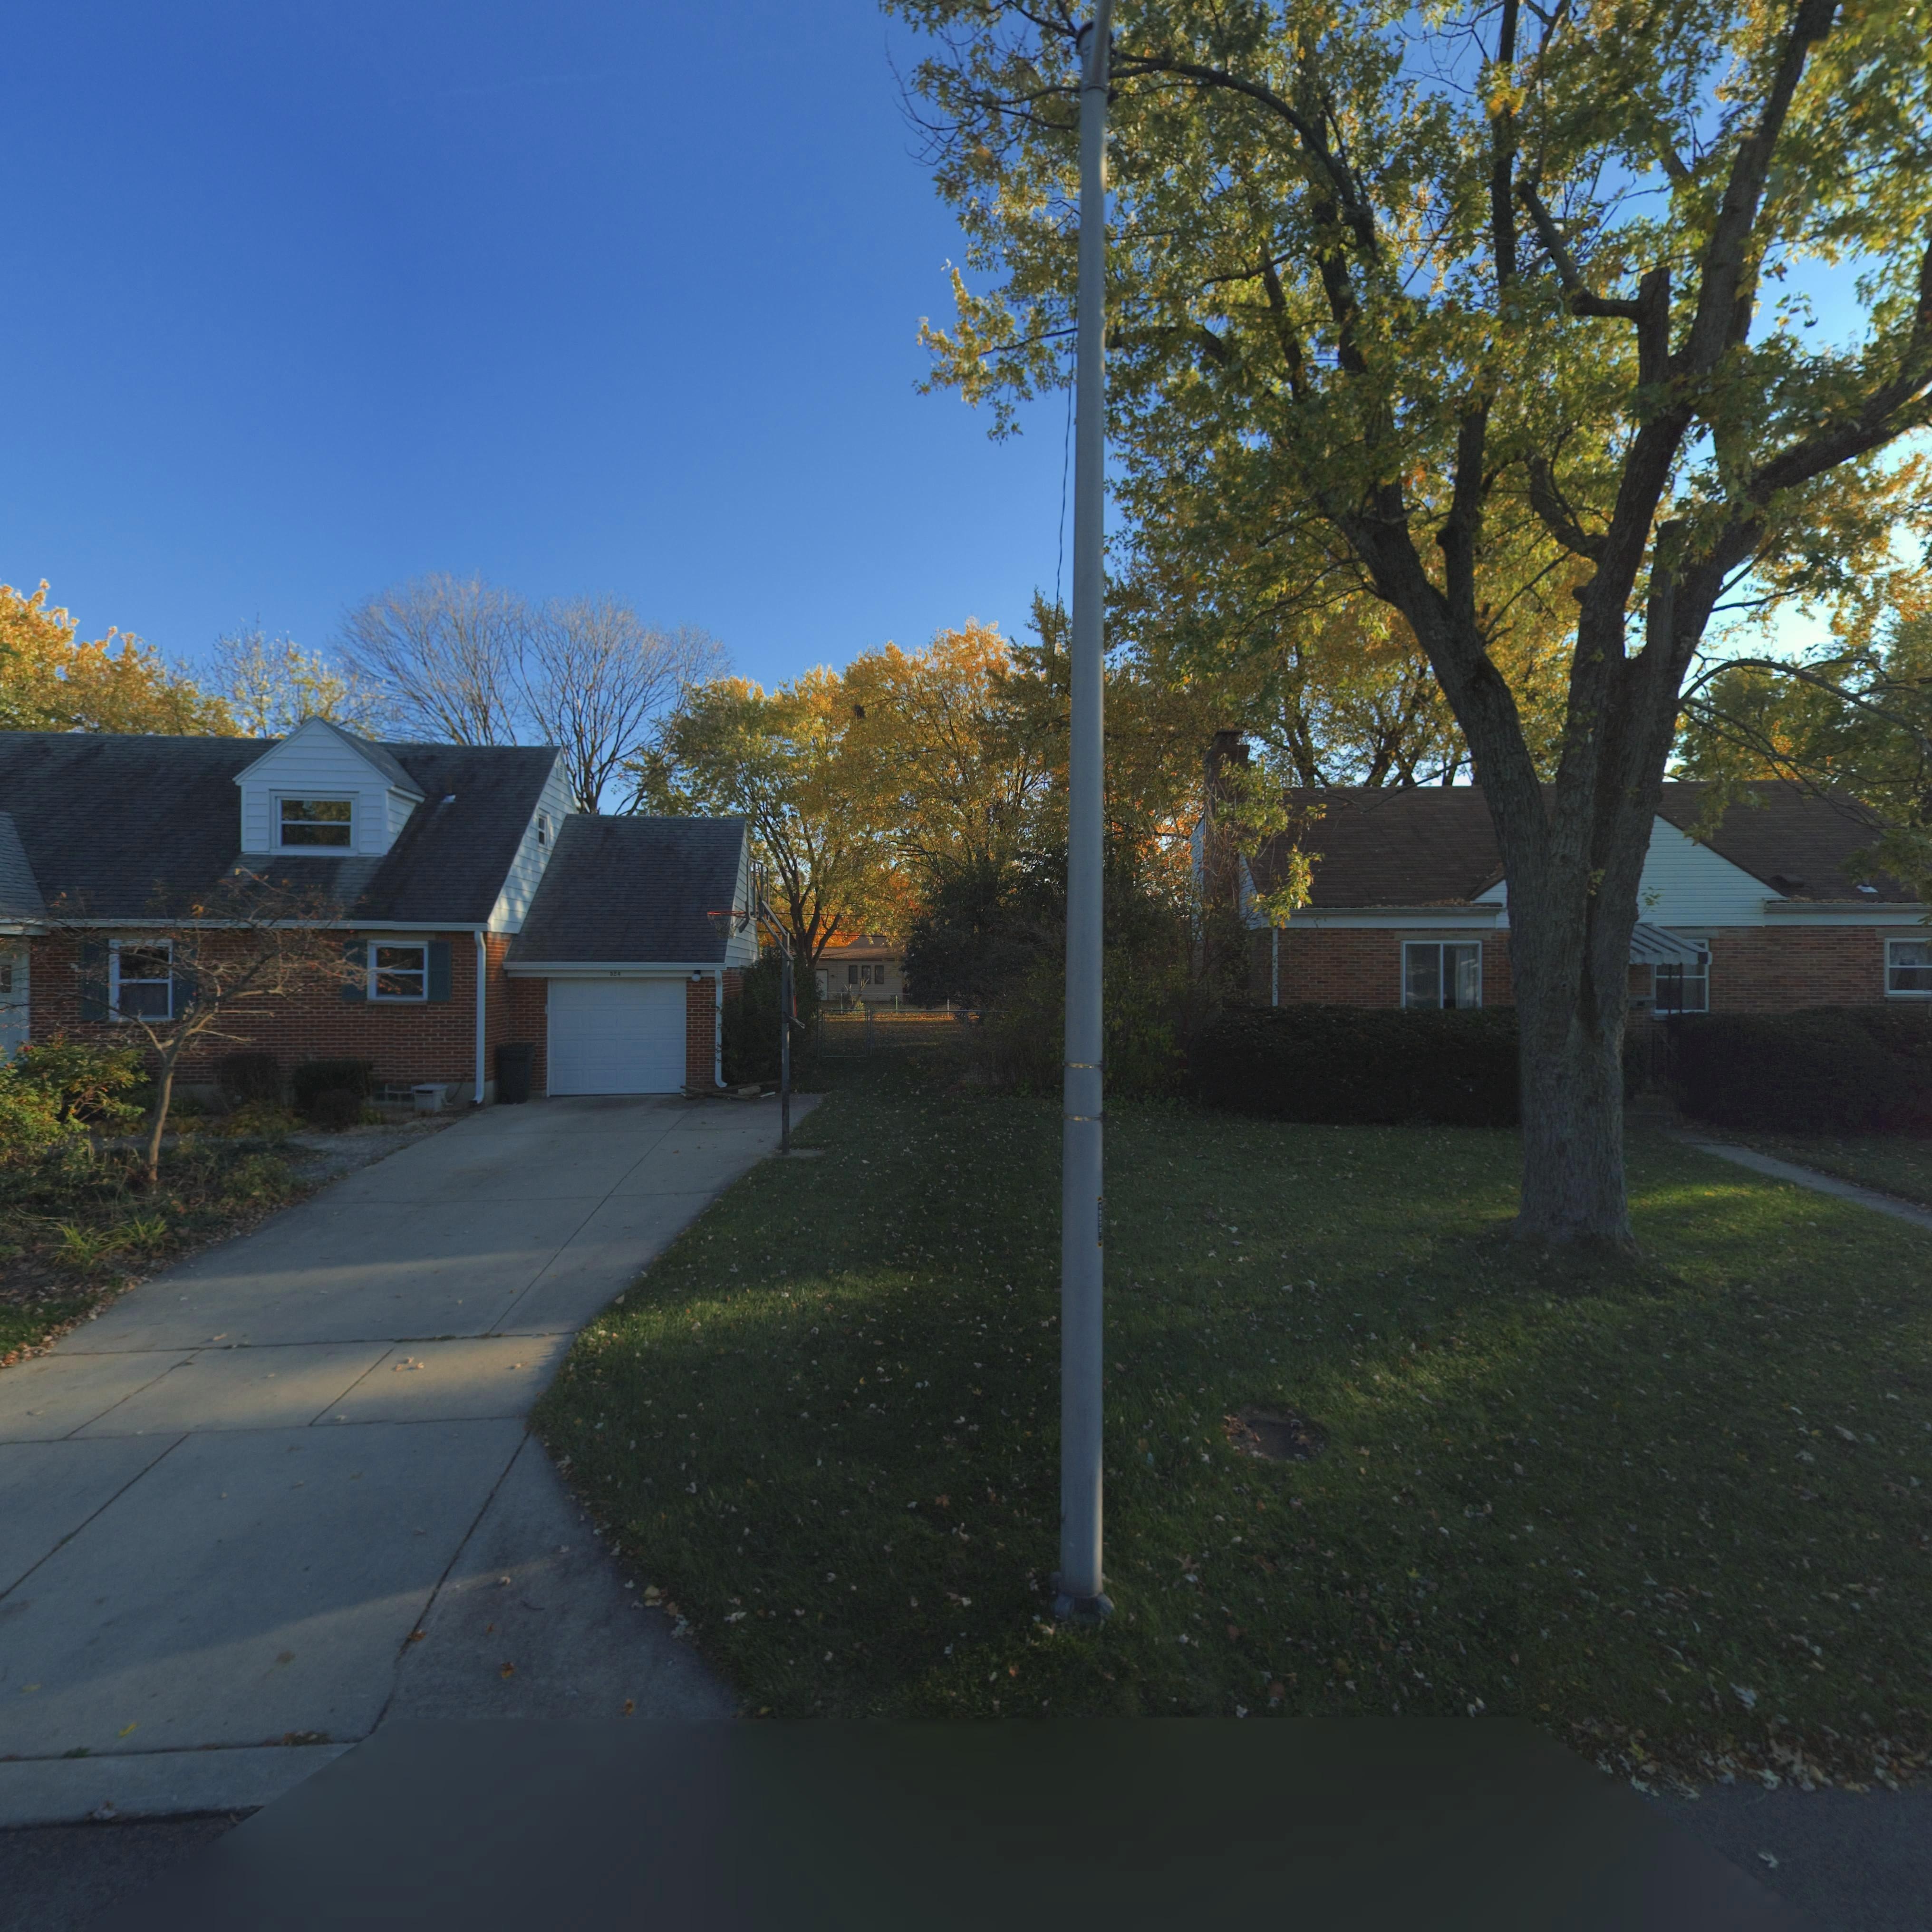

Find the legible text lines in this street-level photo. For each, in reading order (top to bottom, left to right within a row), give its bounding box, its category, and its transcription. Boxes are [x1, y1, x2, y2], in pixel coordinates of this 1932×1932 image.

[609, 970, 621, 976] StreetNumber: 524